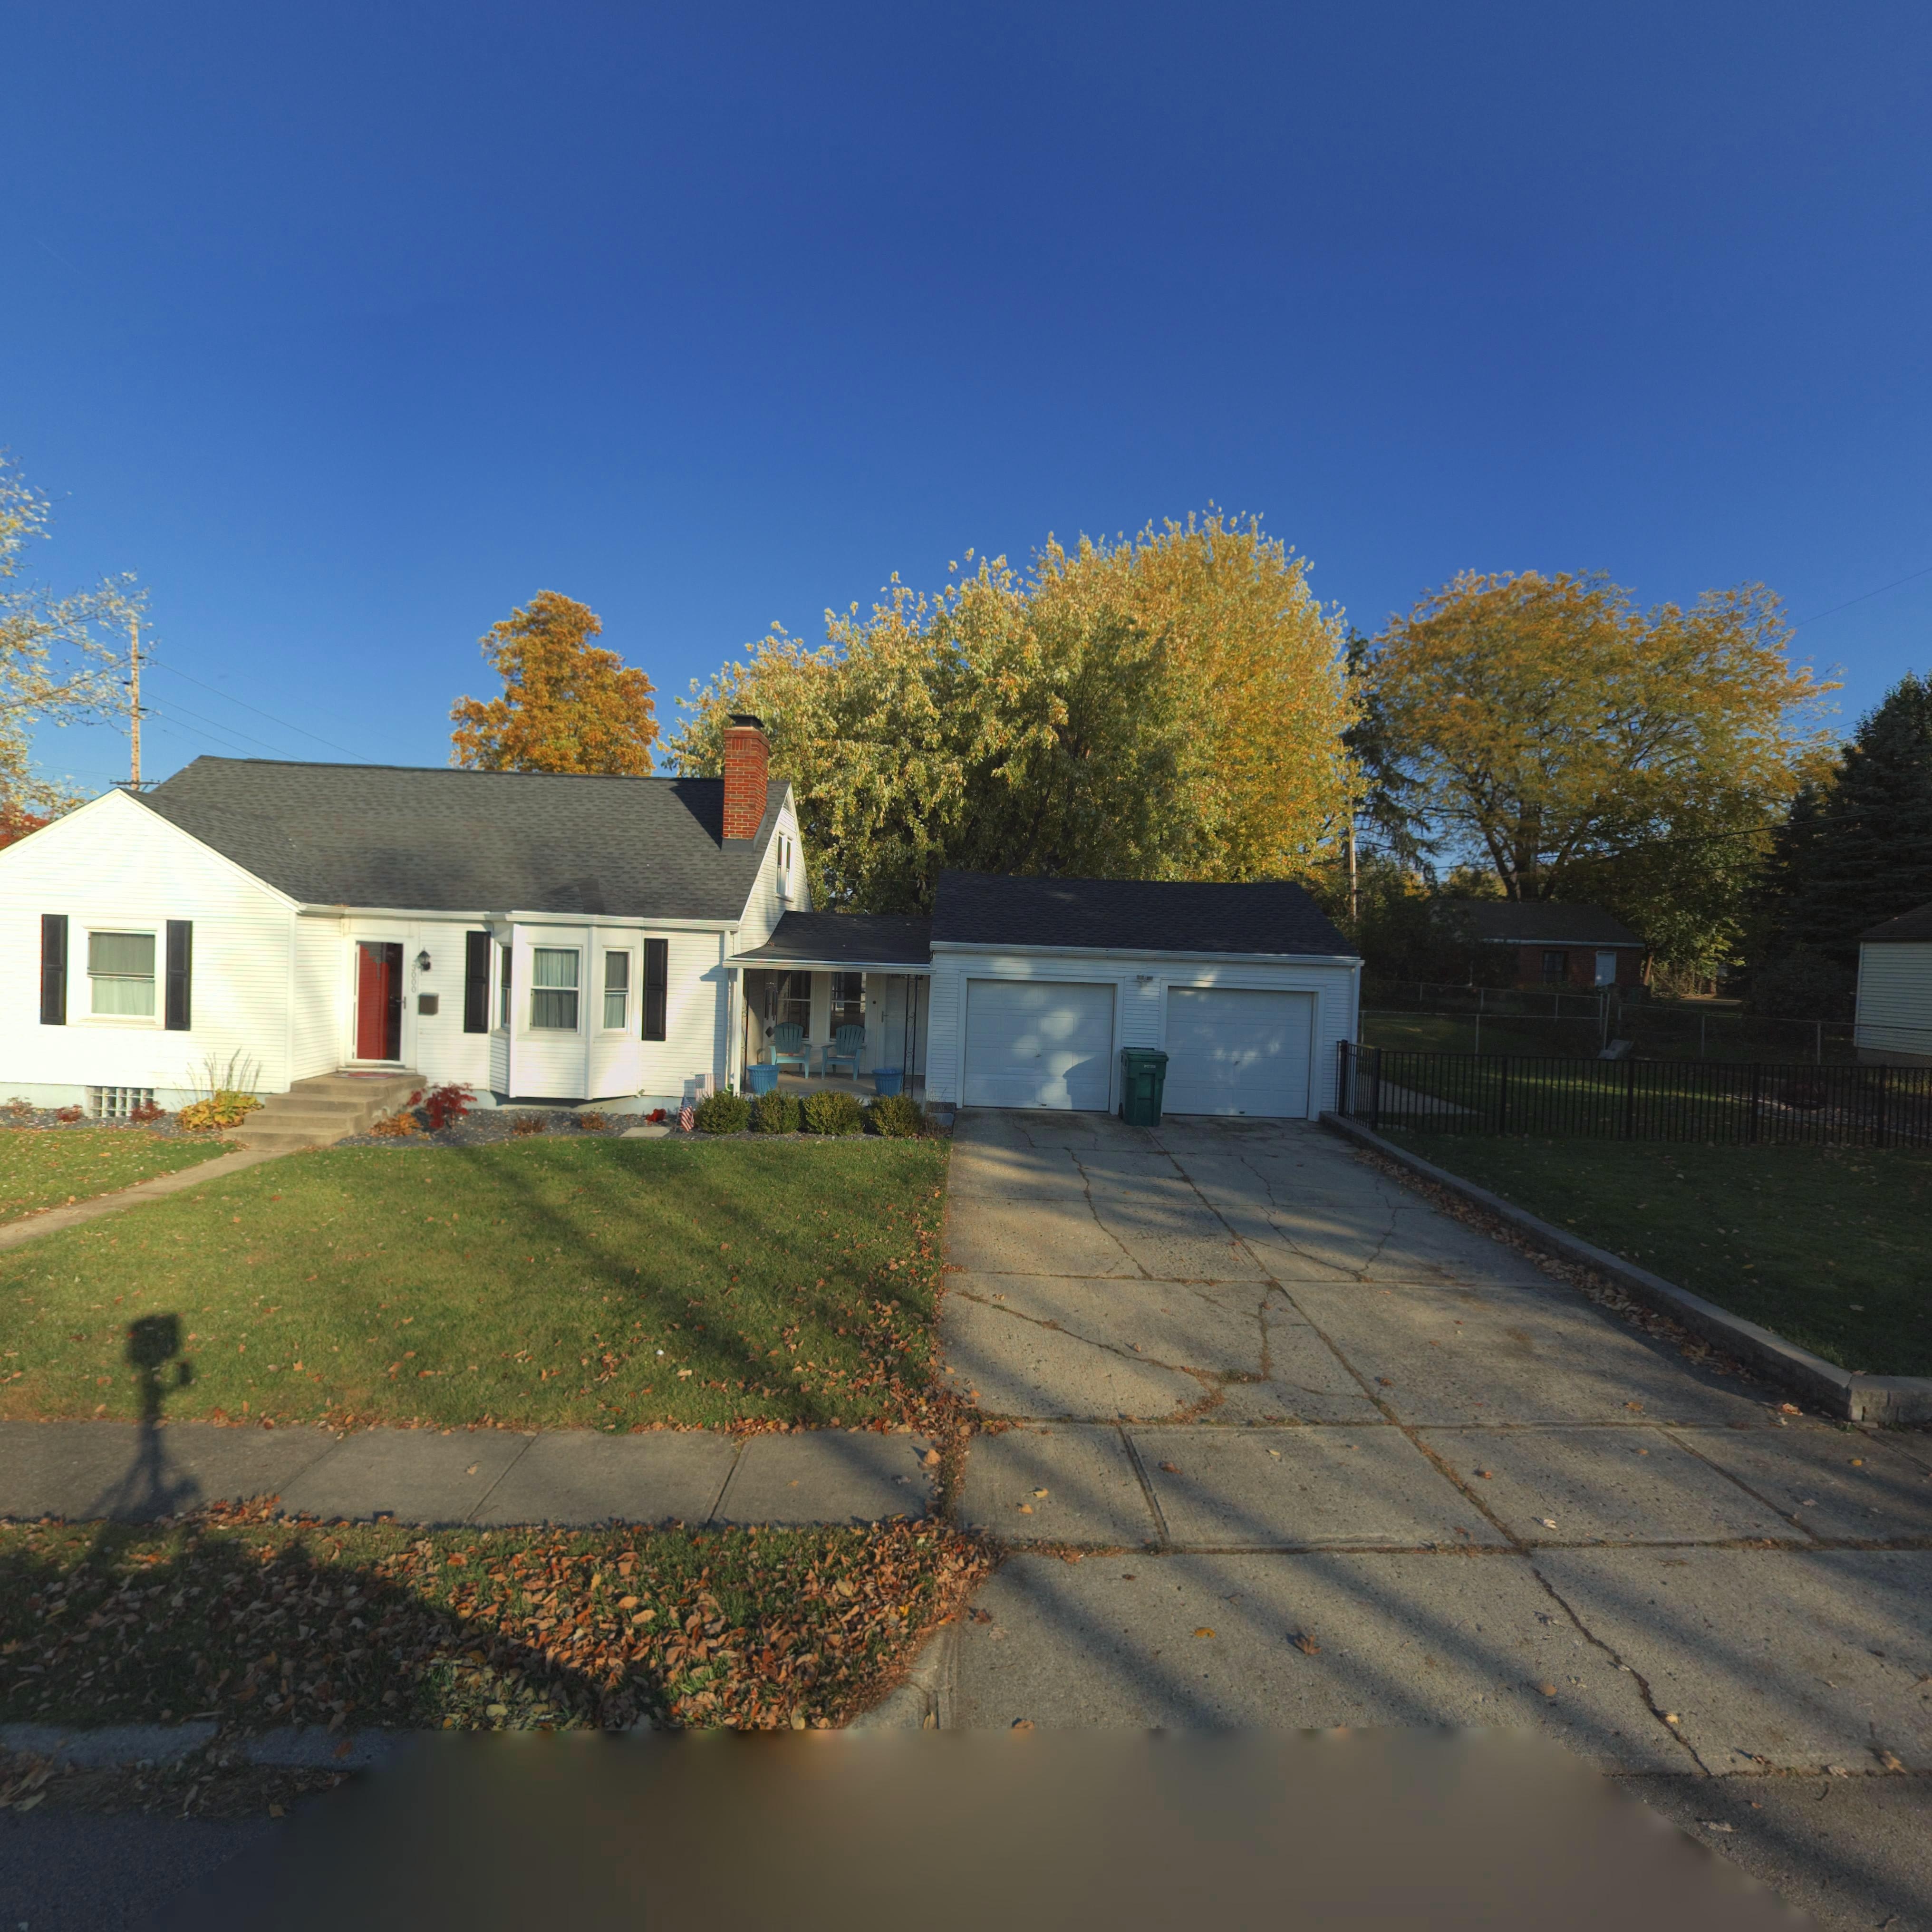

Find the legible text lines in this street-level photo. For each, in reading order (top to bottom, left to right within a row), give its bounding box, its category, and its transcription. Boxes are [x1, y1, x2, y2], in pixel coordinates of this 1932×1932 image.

[411, 964, 417, 993] StreetNumber: 3000